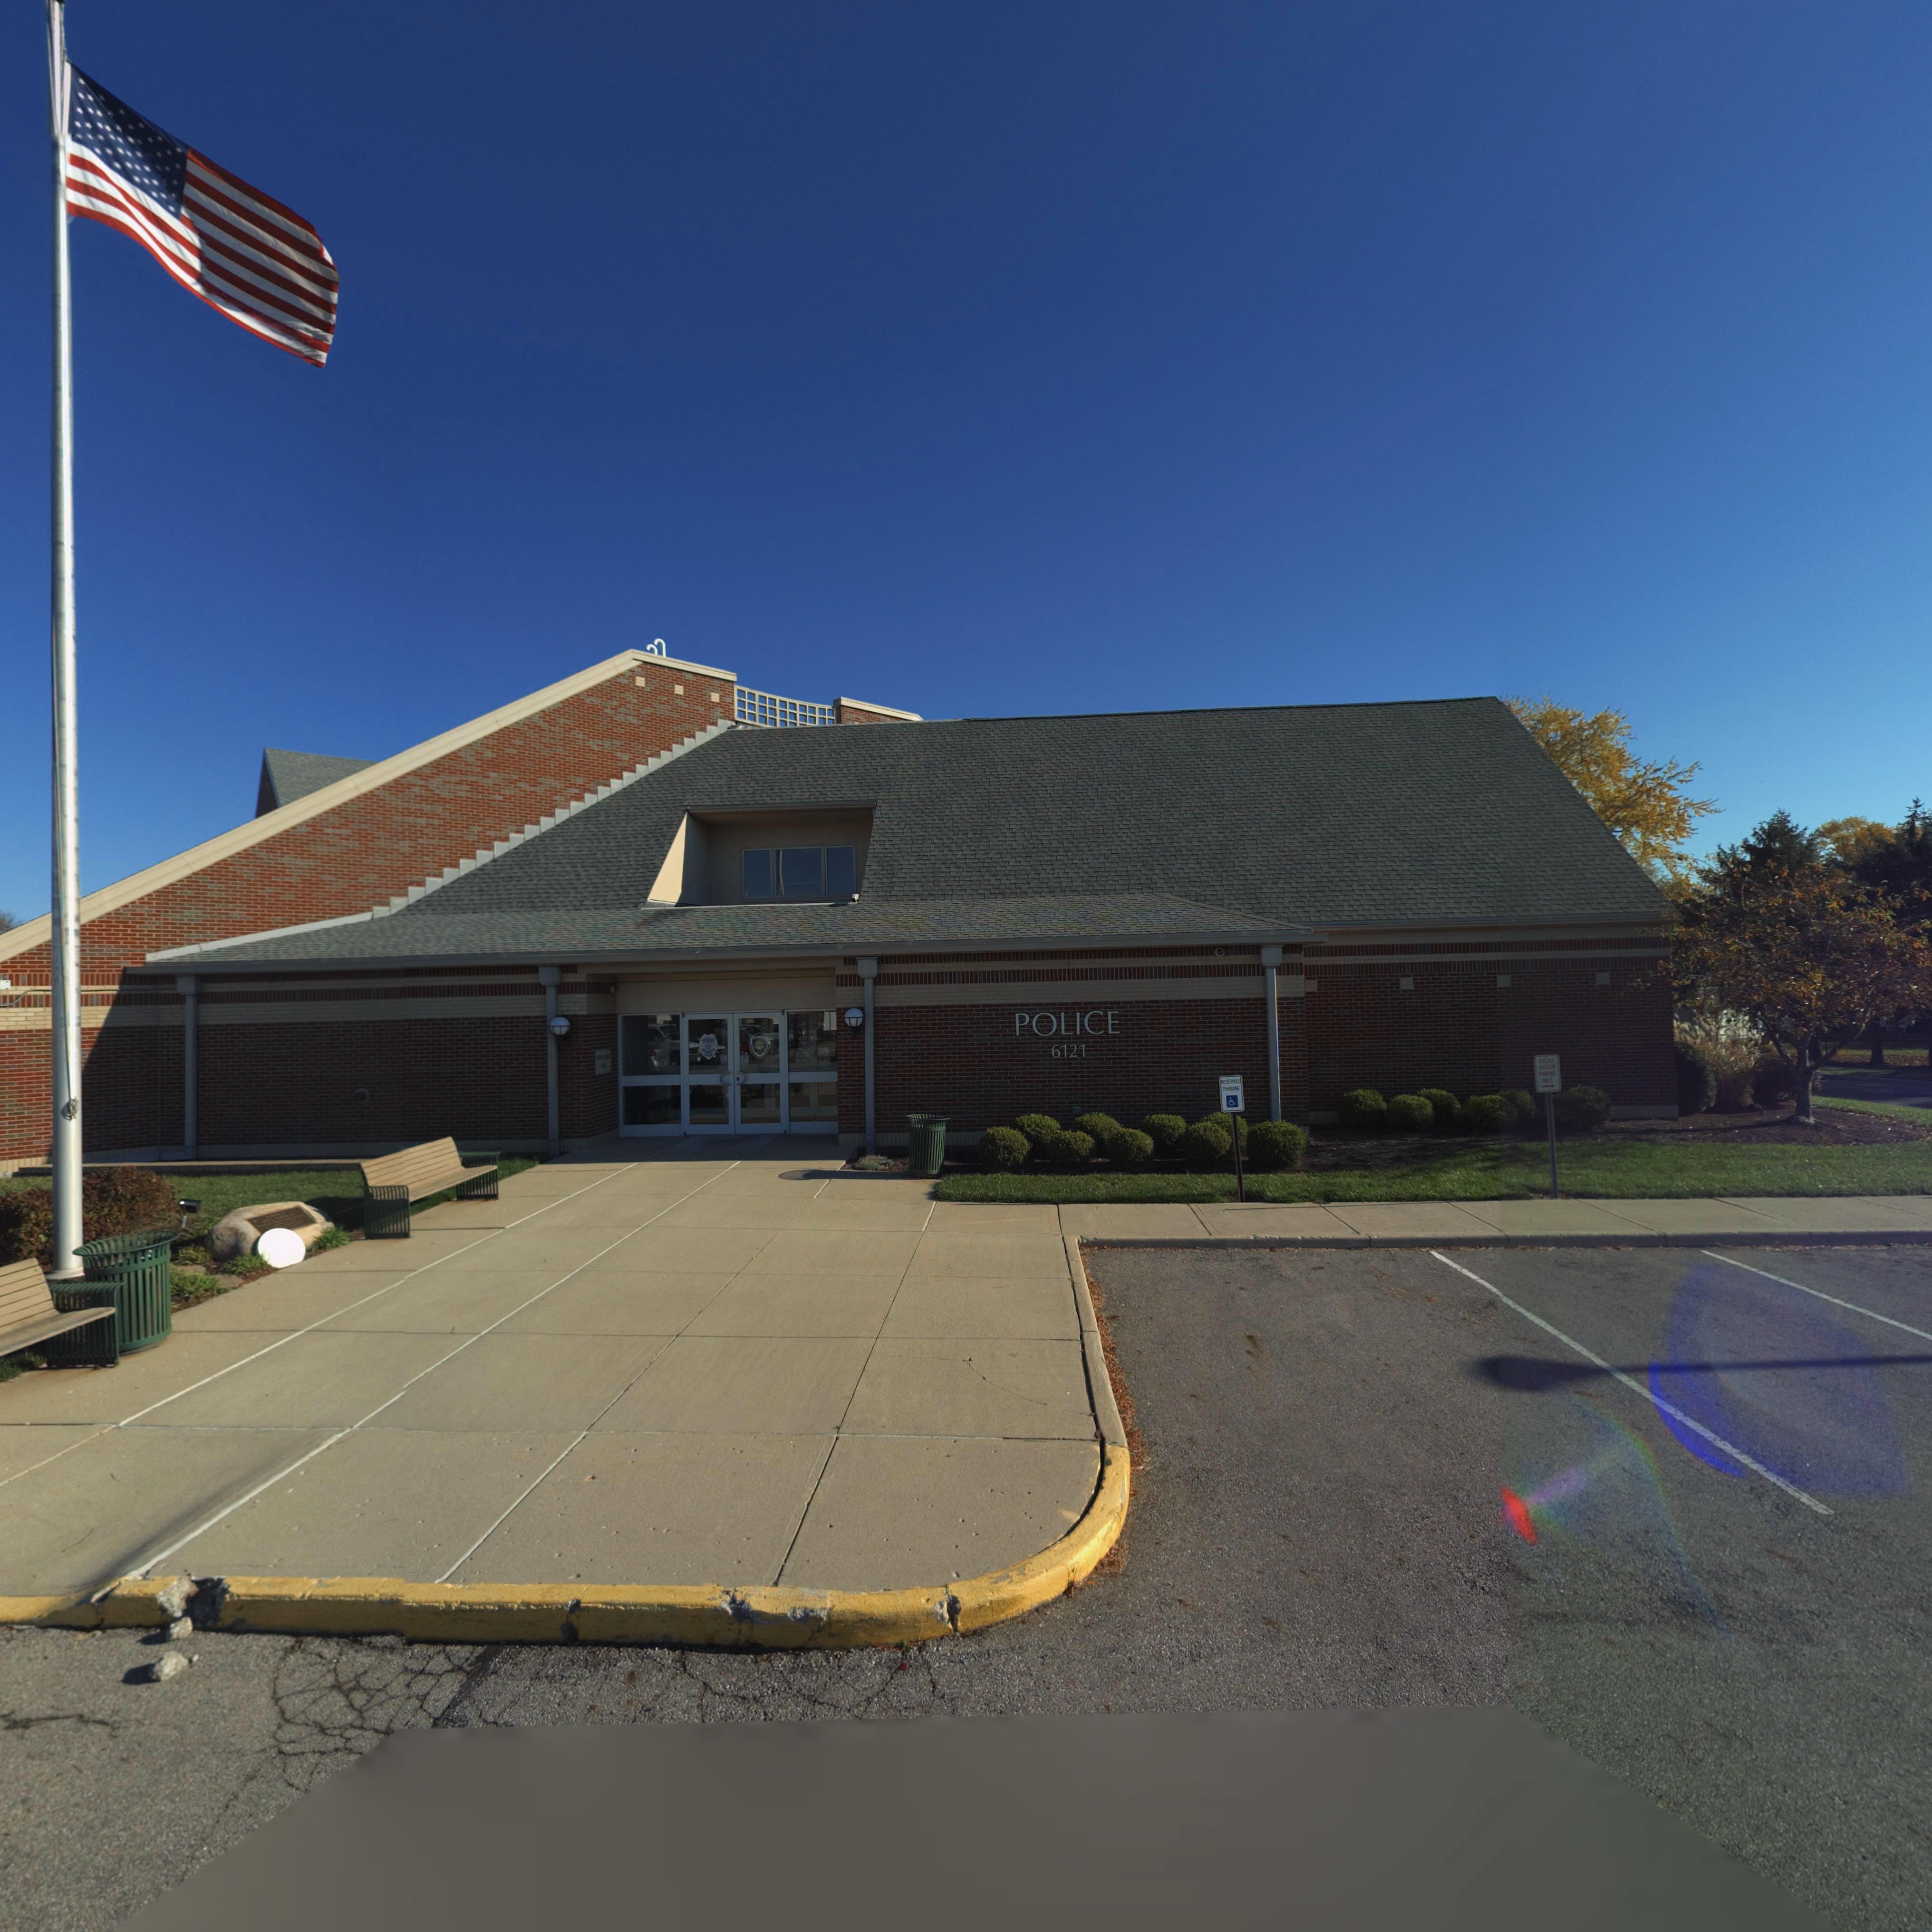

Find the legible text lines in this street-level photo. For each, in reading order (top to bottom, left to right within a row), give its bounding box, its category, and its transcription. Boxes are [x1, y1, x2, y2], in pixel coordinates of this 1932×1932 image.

[1051, 1044, 1086, 1059] StreetNumber: 6121